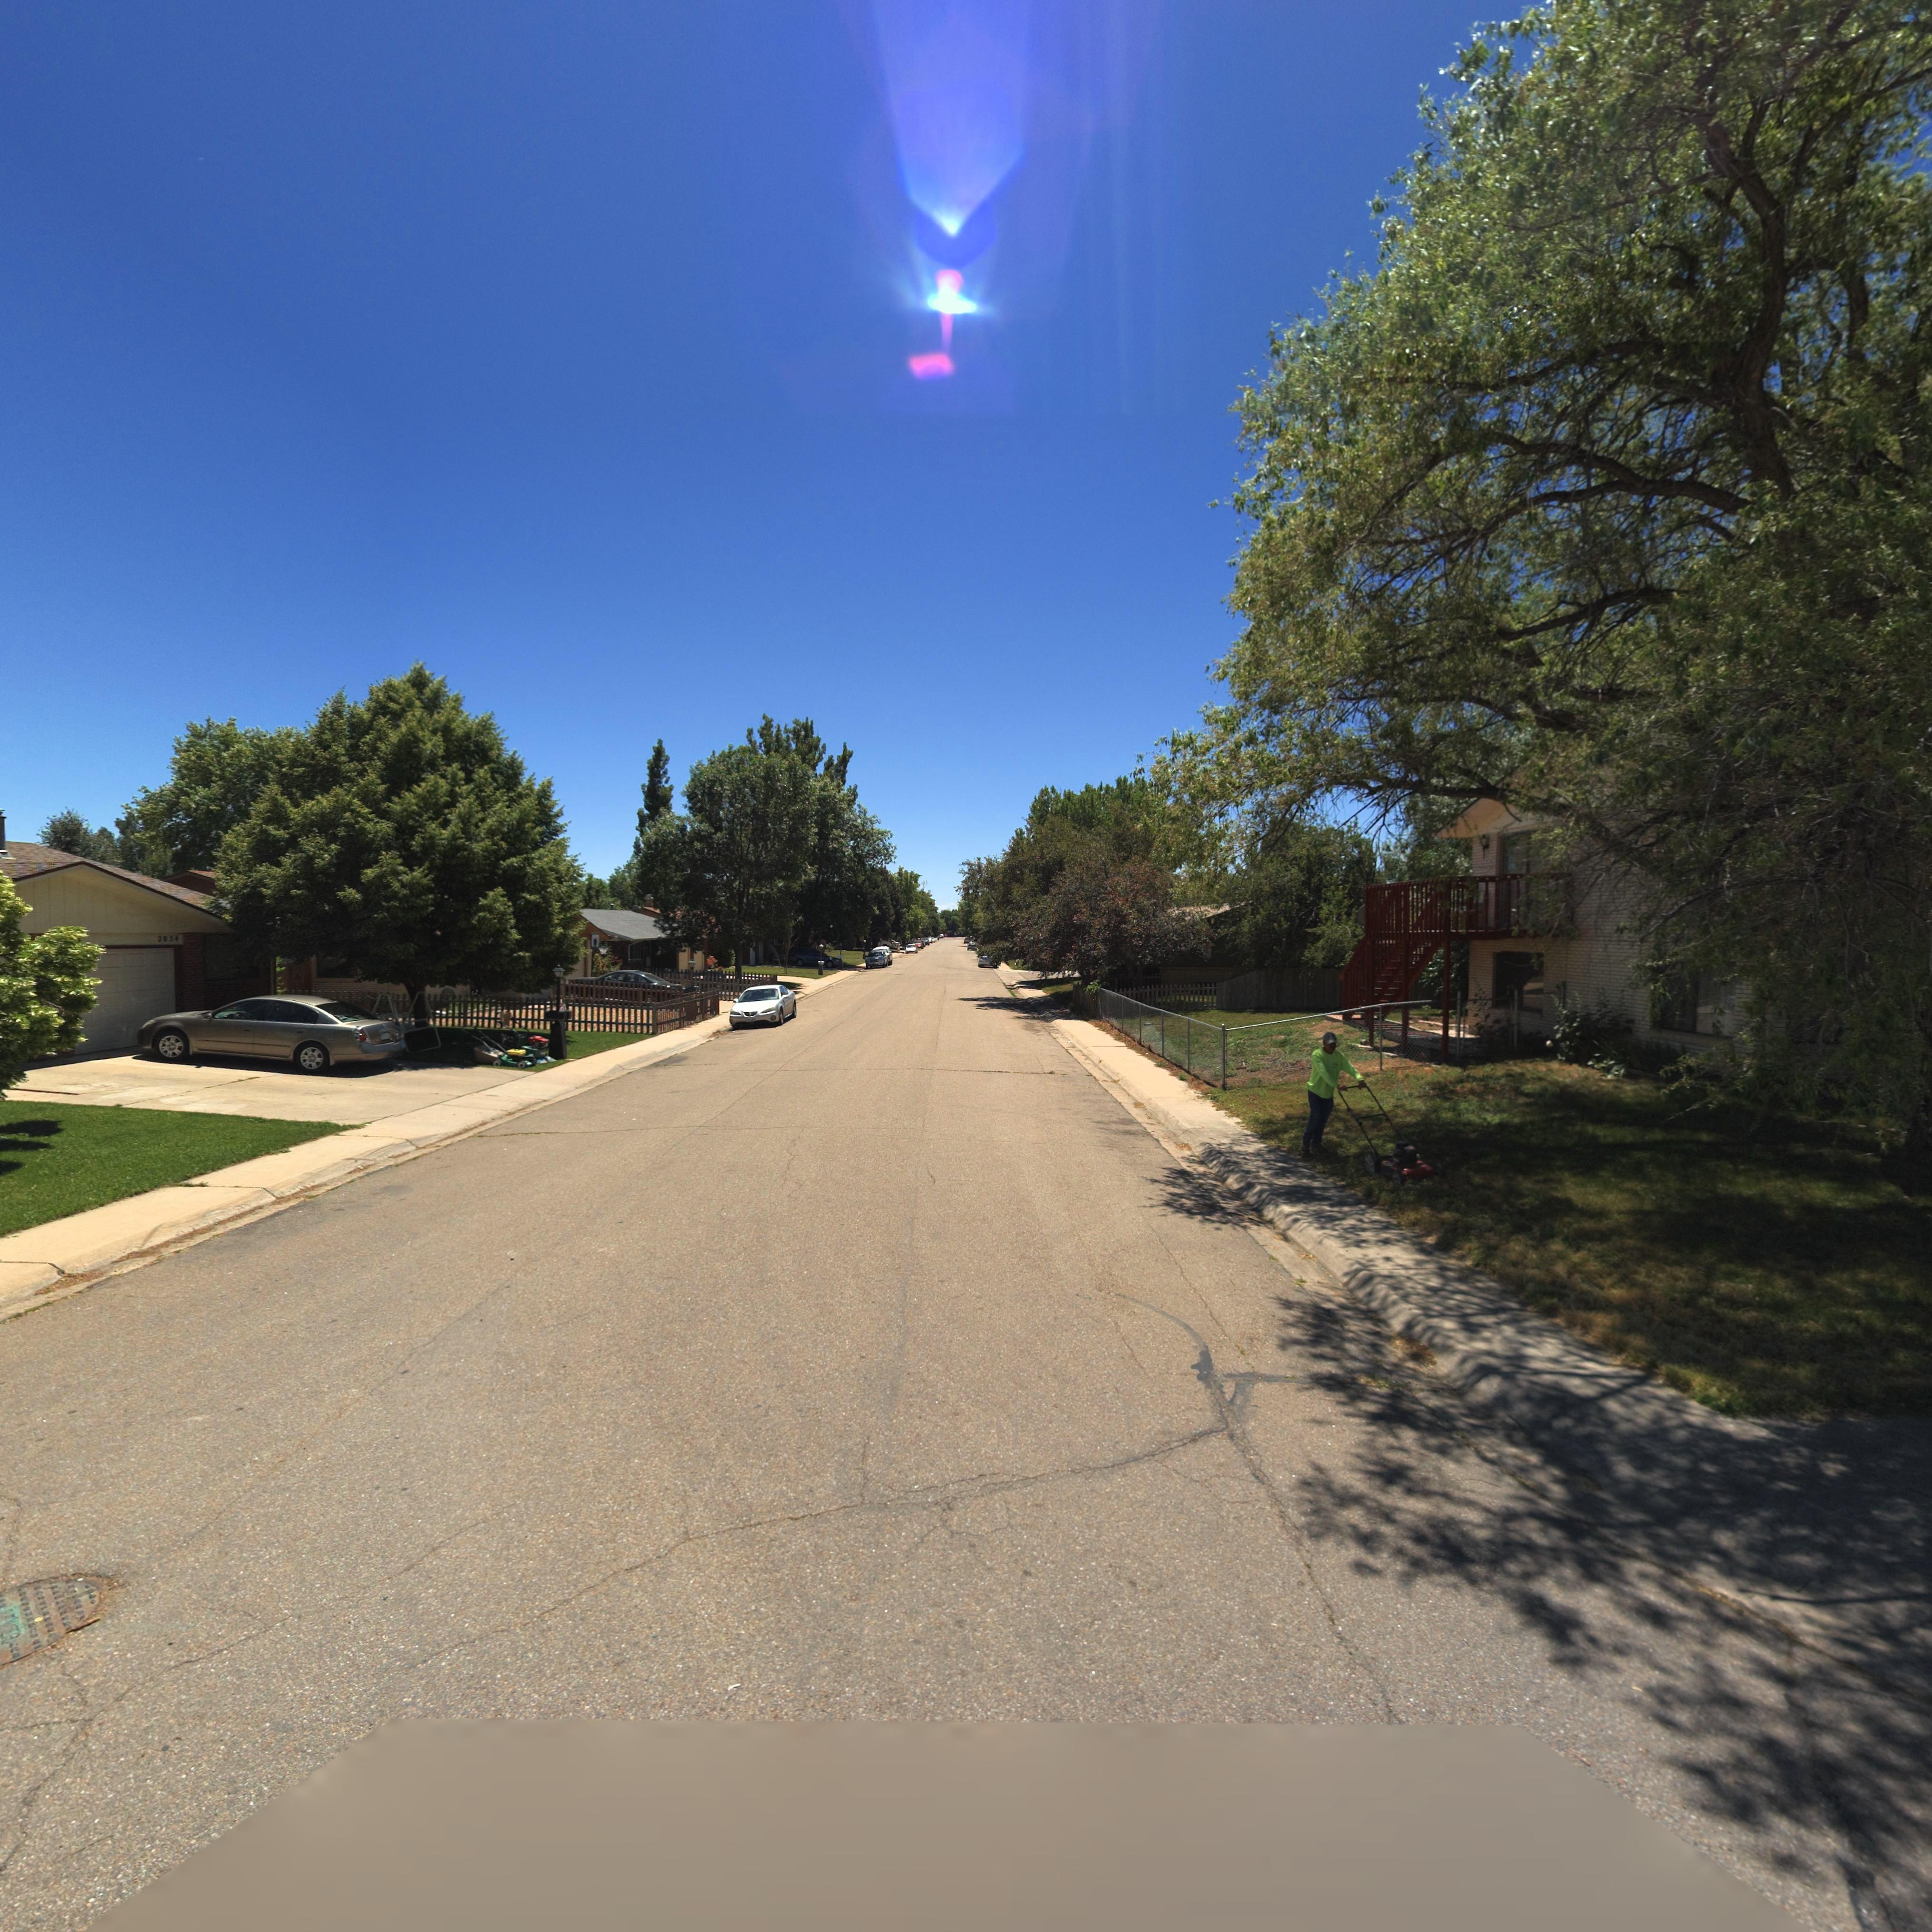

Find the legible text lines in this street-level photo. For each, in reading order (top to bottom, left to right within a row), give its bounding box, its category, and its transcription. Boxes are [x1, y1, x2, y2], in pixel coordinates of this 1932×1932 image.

[156, 935, 179, 942] StreetNumber: 3034